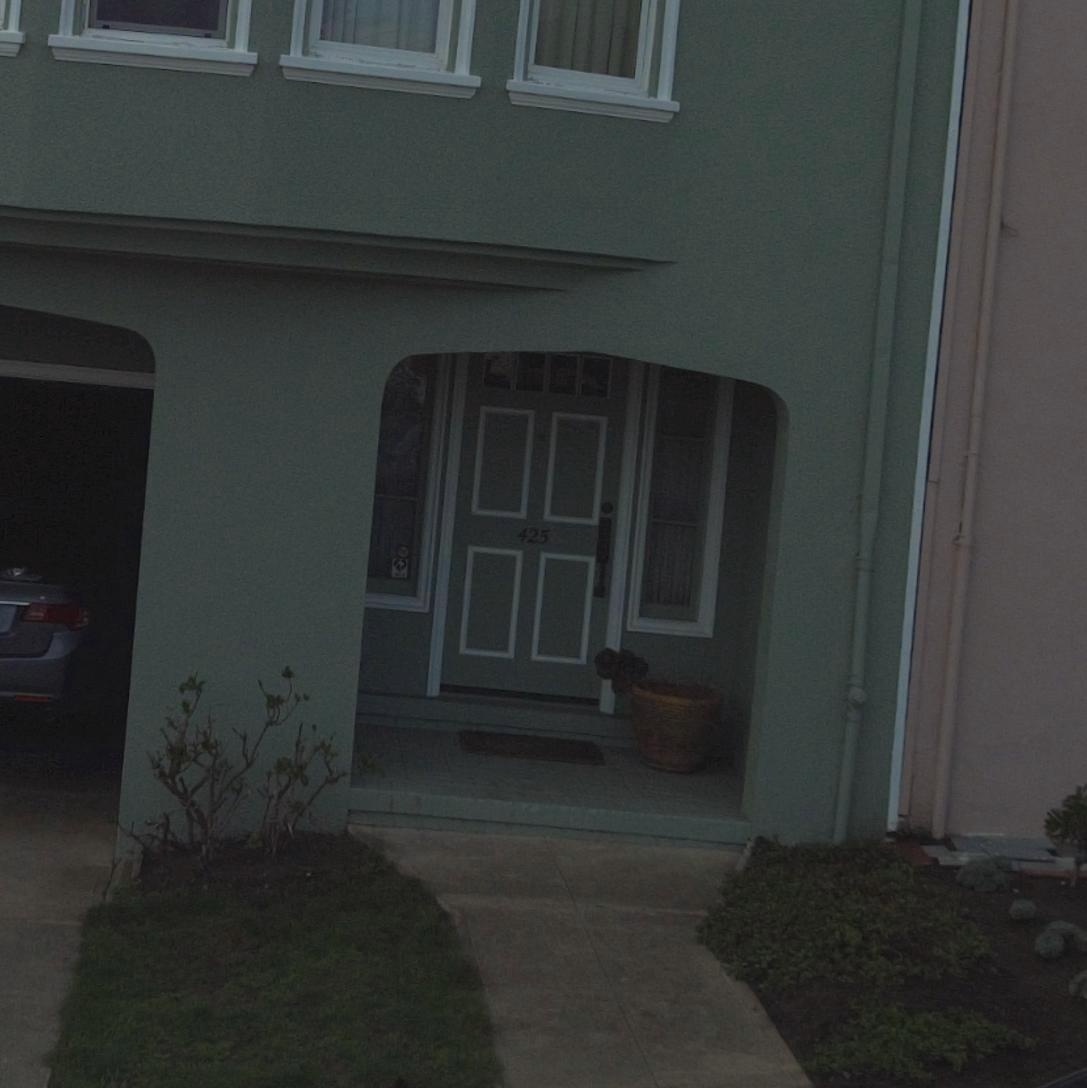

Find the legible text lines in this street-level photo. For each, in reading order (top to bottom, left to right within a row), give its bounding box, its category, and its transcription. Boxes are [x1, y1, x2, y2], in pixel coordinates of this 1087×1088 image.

[512, 525, 551, 546] StreetNumber: 425